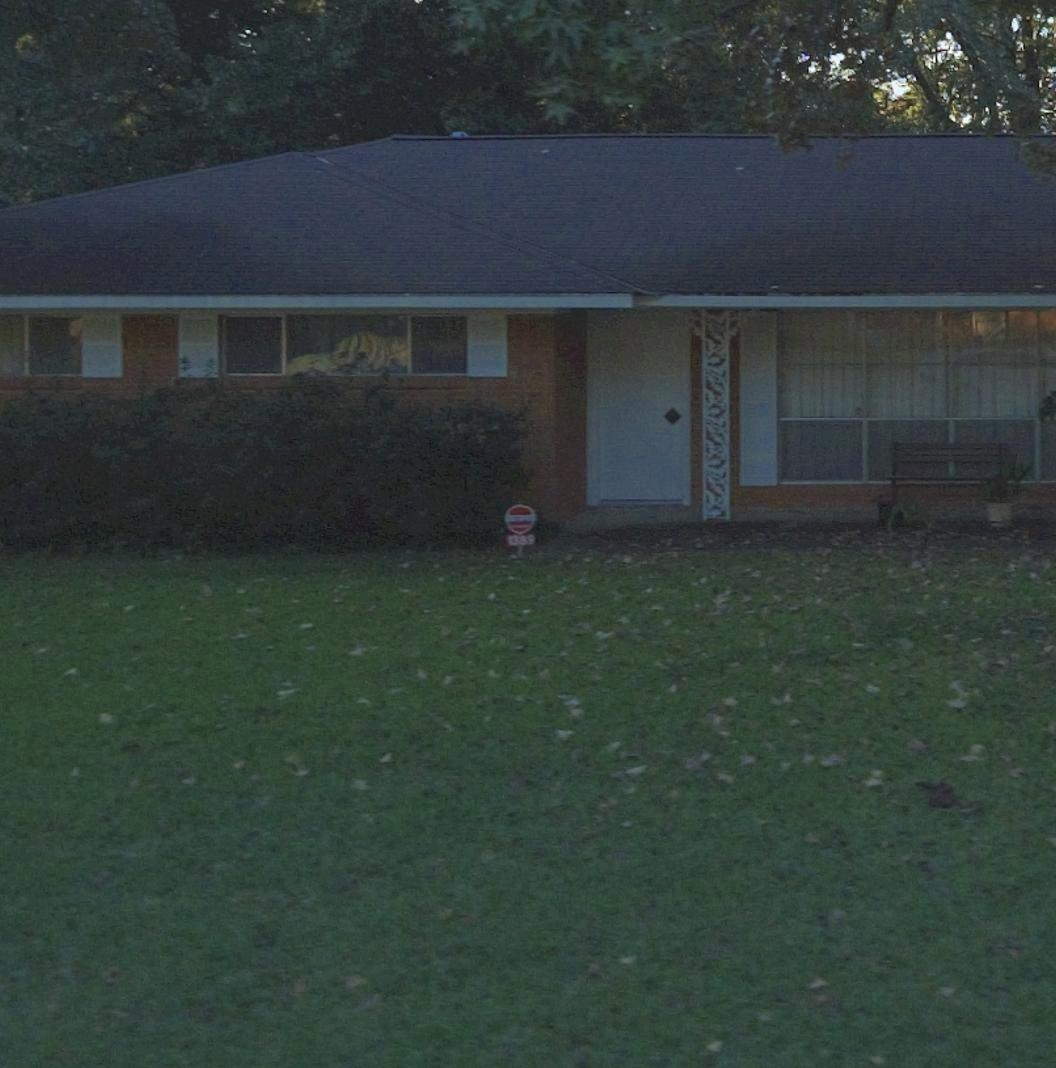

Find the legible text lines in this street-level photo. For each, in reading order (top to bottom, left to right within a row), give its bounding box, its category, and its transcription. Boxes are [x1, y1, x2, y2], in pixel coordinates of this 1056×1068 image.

[507, 534, 536, 546] StreetNumber: 1389